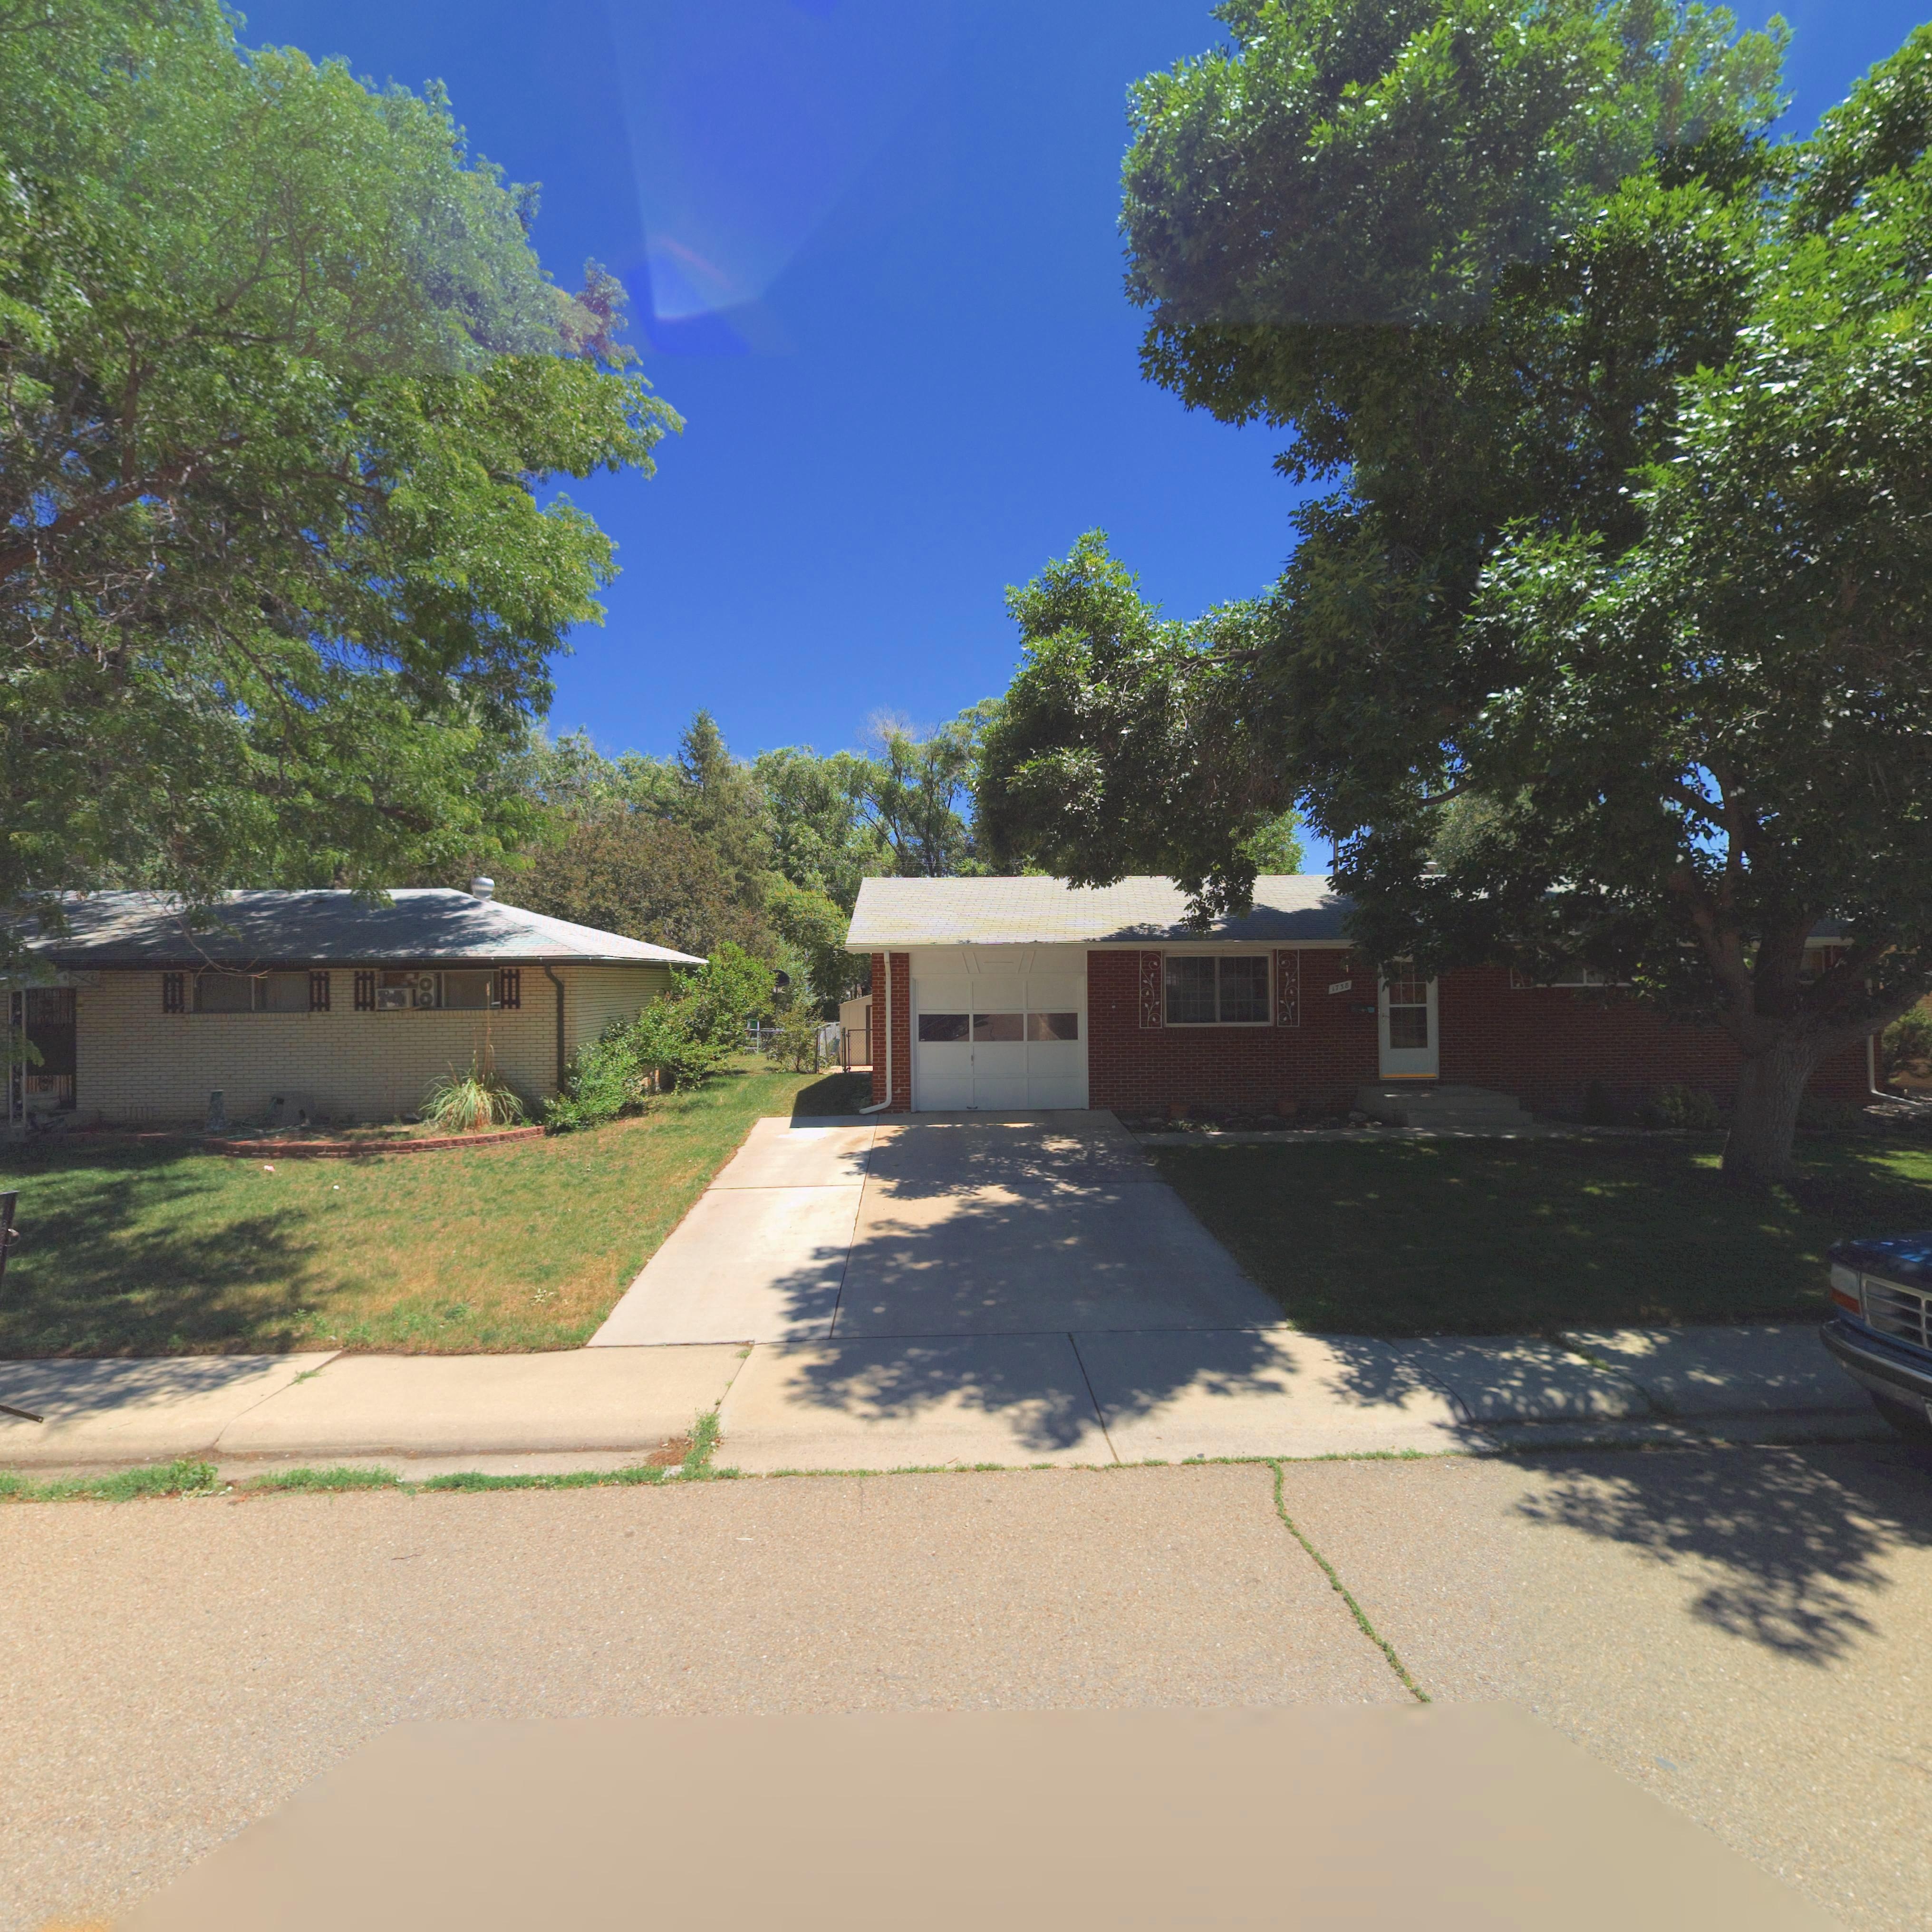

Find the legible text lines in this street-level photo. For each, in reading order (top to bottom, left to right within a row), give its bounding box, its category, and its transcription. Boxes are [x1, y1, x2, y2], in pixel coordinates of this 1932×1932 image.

[1332, 981, 1349, 992] StreetNumber: 1738